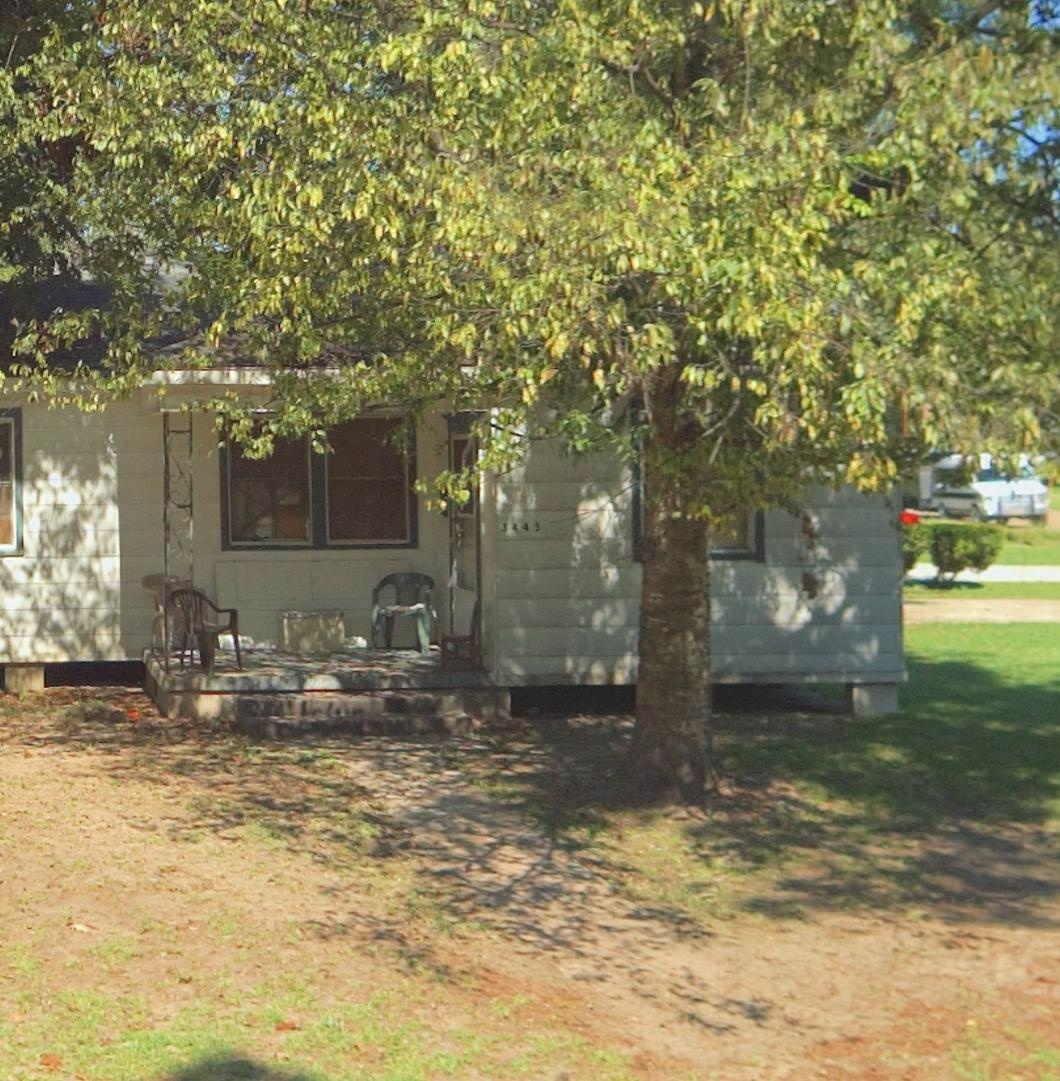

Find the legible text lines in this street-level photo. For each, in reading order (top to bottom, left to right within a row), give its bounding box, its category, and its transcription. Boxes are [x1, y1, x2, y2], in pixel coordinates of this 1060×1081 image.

[500, 521, 543, 533] StreetNumber: 3445